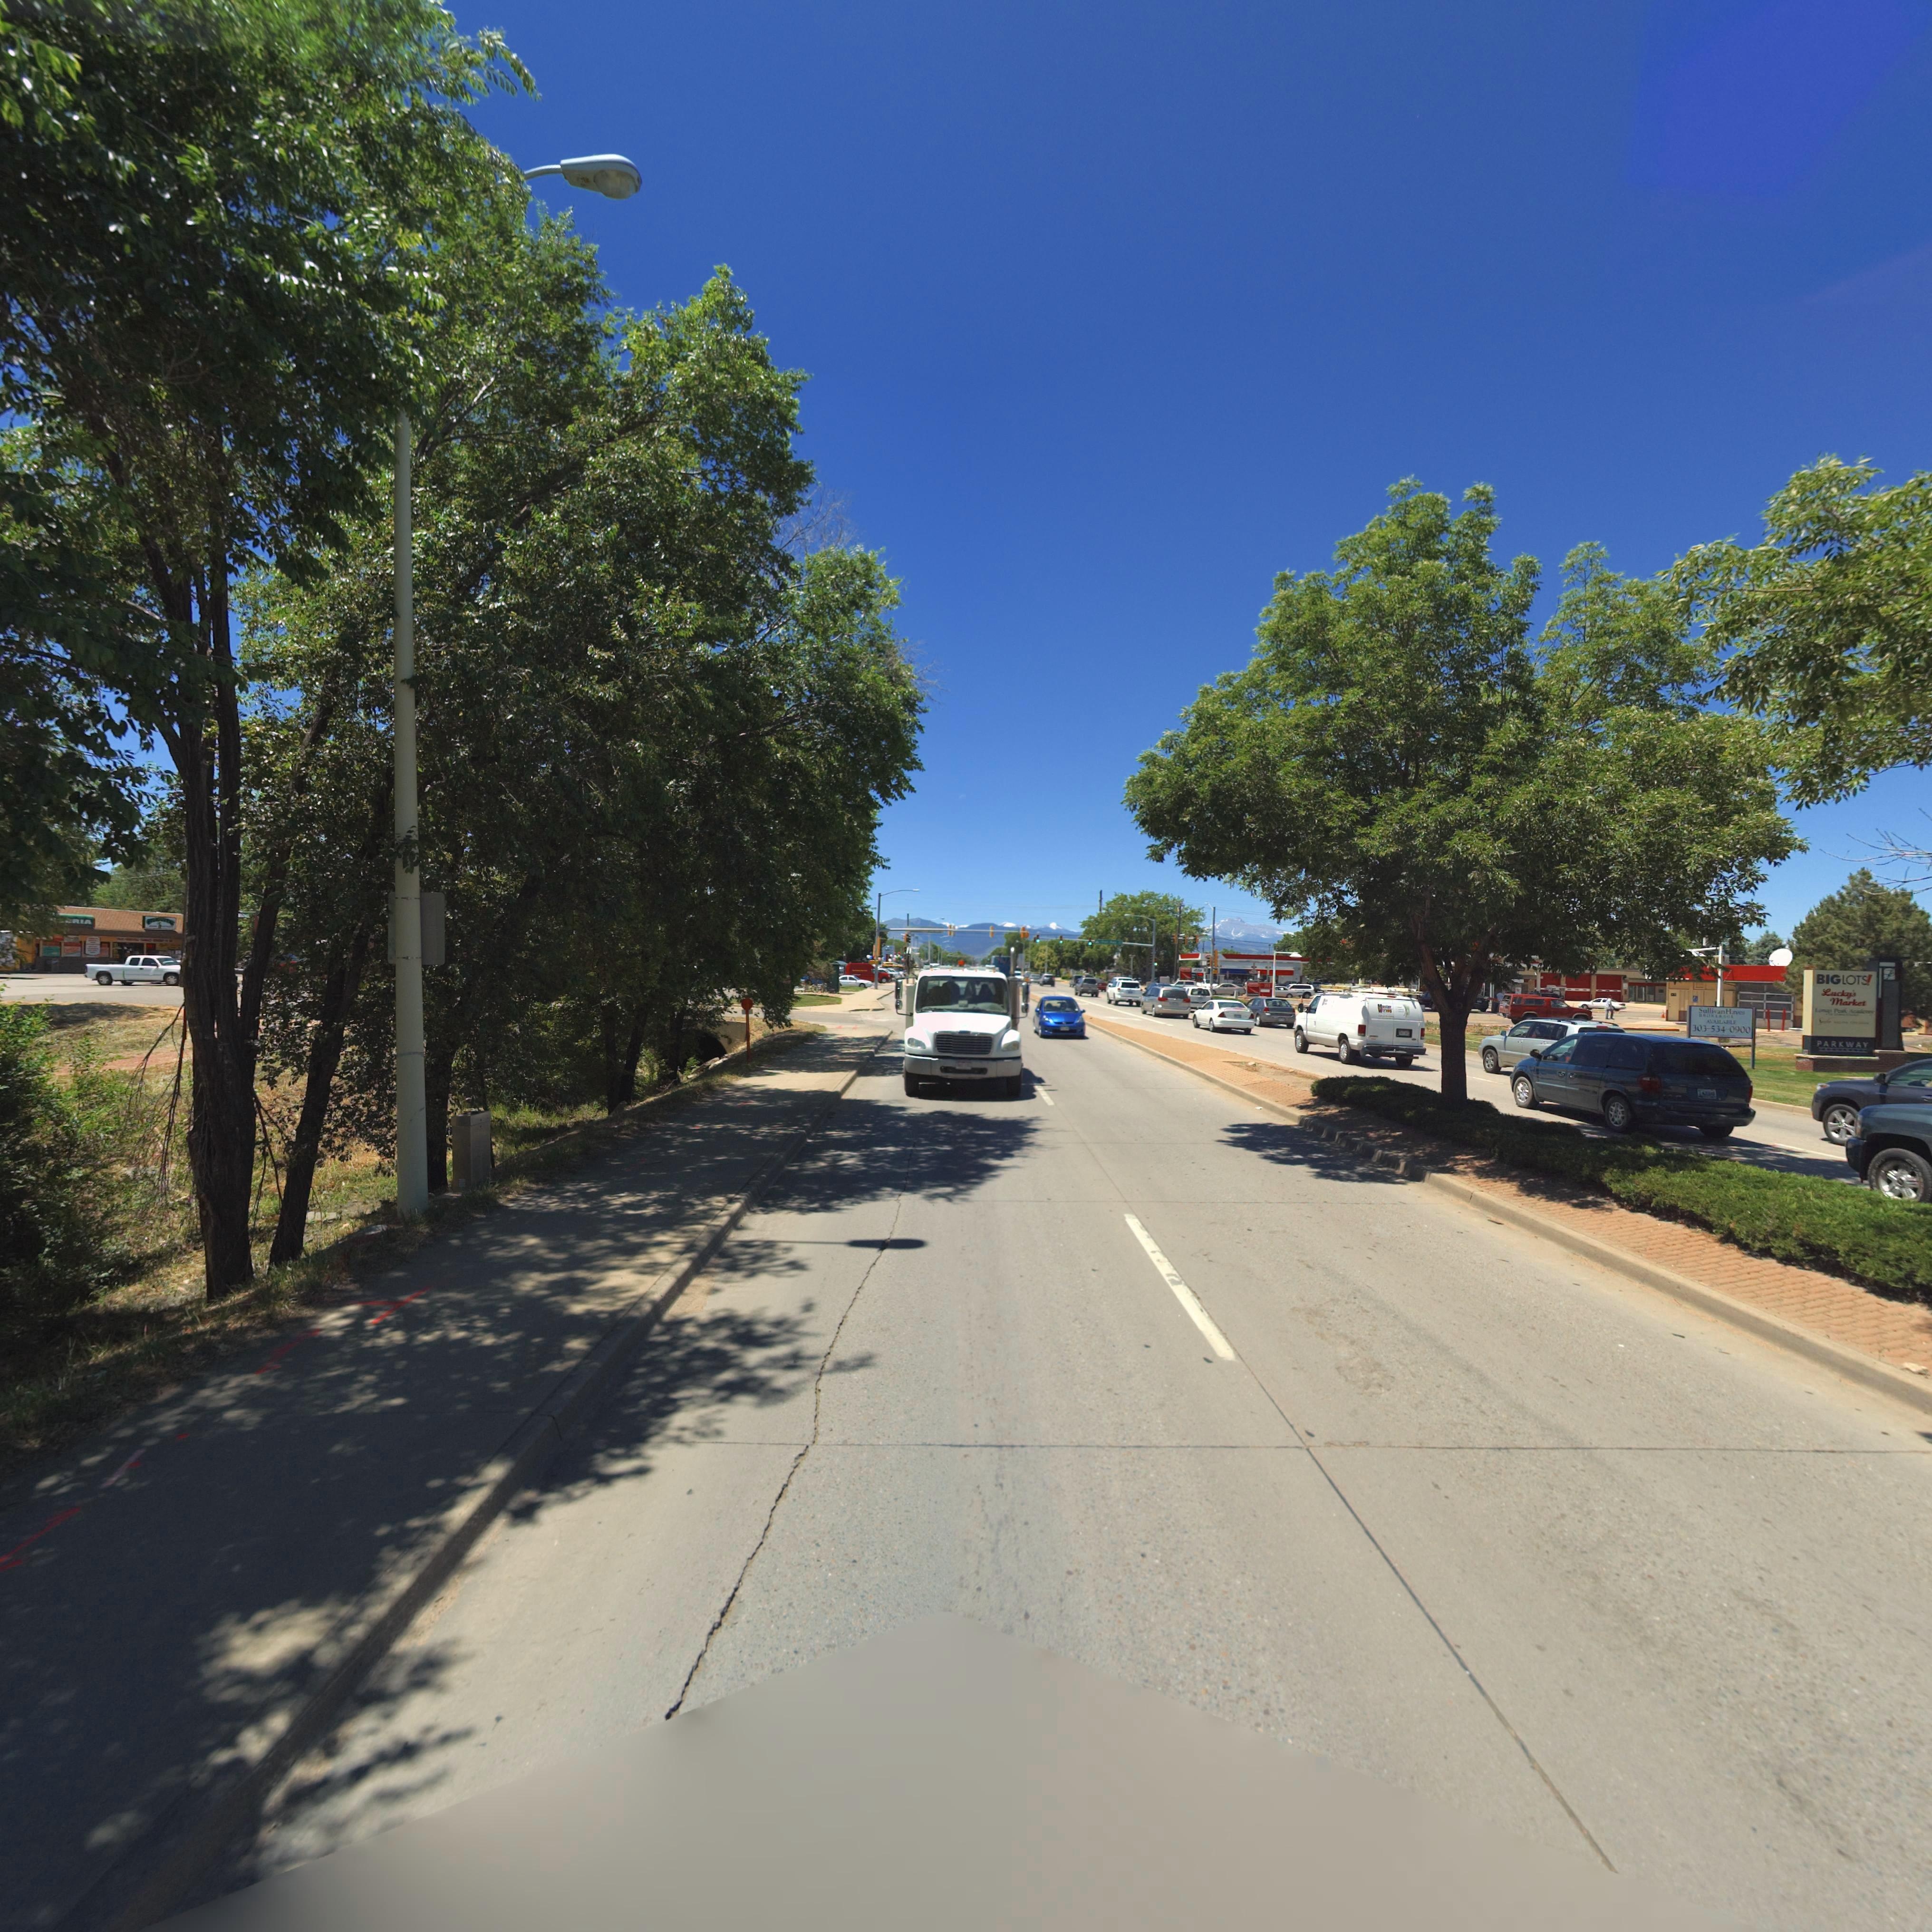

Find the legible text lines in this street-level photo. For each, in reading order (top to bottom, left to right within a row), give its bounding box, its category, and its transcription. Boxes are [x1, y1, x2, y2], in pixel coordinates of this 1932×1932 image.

[65, 918, 93, 925] BusinessName: *RIA
[1816, 973, 1873, 986] BusinessName: BIG LOTS!
[1821, 987, 1856, 999] BusinessName: Lucky's
[1829, 996, 1866, 1006] BusinessName: Market
[1814, 1007, 1874, 1015] BusinessName: Longs Pe** Aca***y